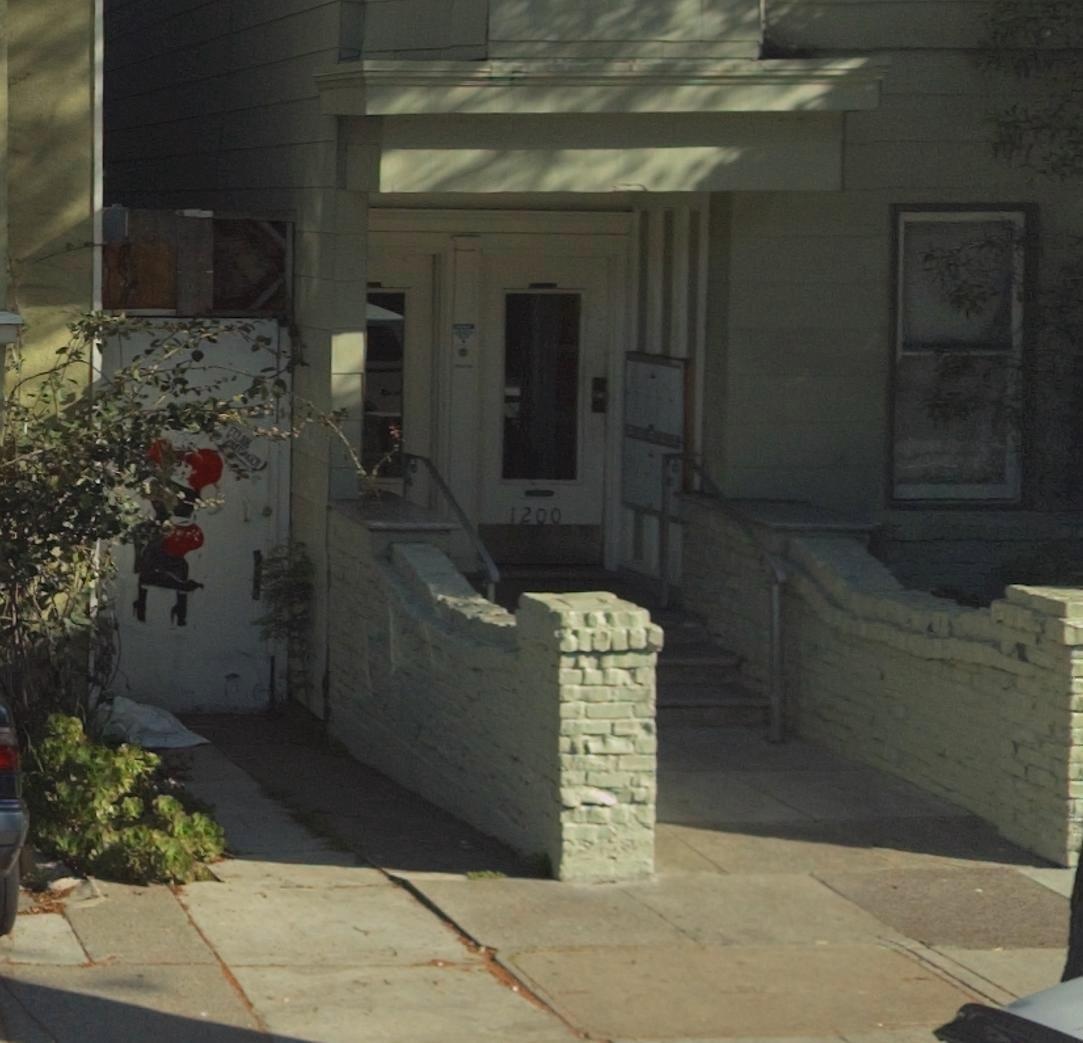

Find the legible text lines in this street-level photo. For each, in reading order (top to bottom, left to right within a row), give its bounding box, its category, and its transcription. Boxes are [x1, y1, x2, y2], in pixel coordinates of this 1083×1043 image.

[507, 503, 563, 528] StreetNumber: 1200